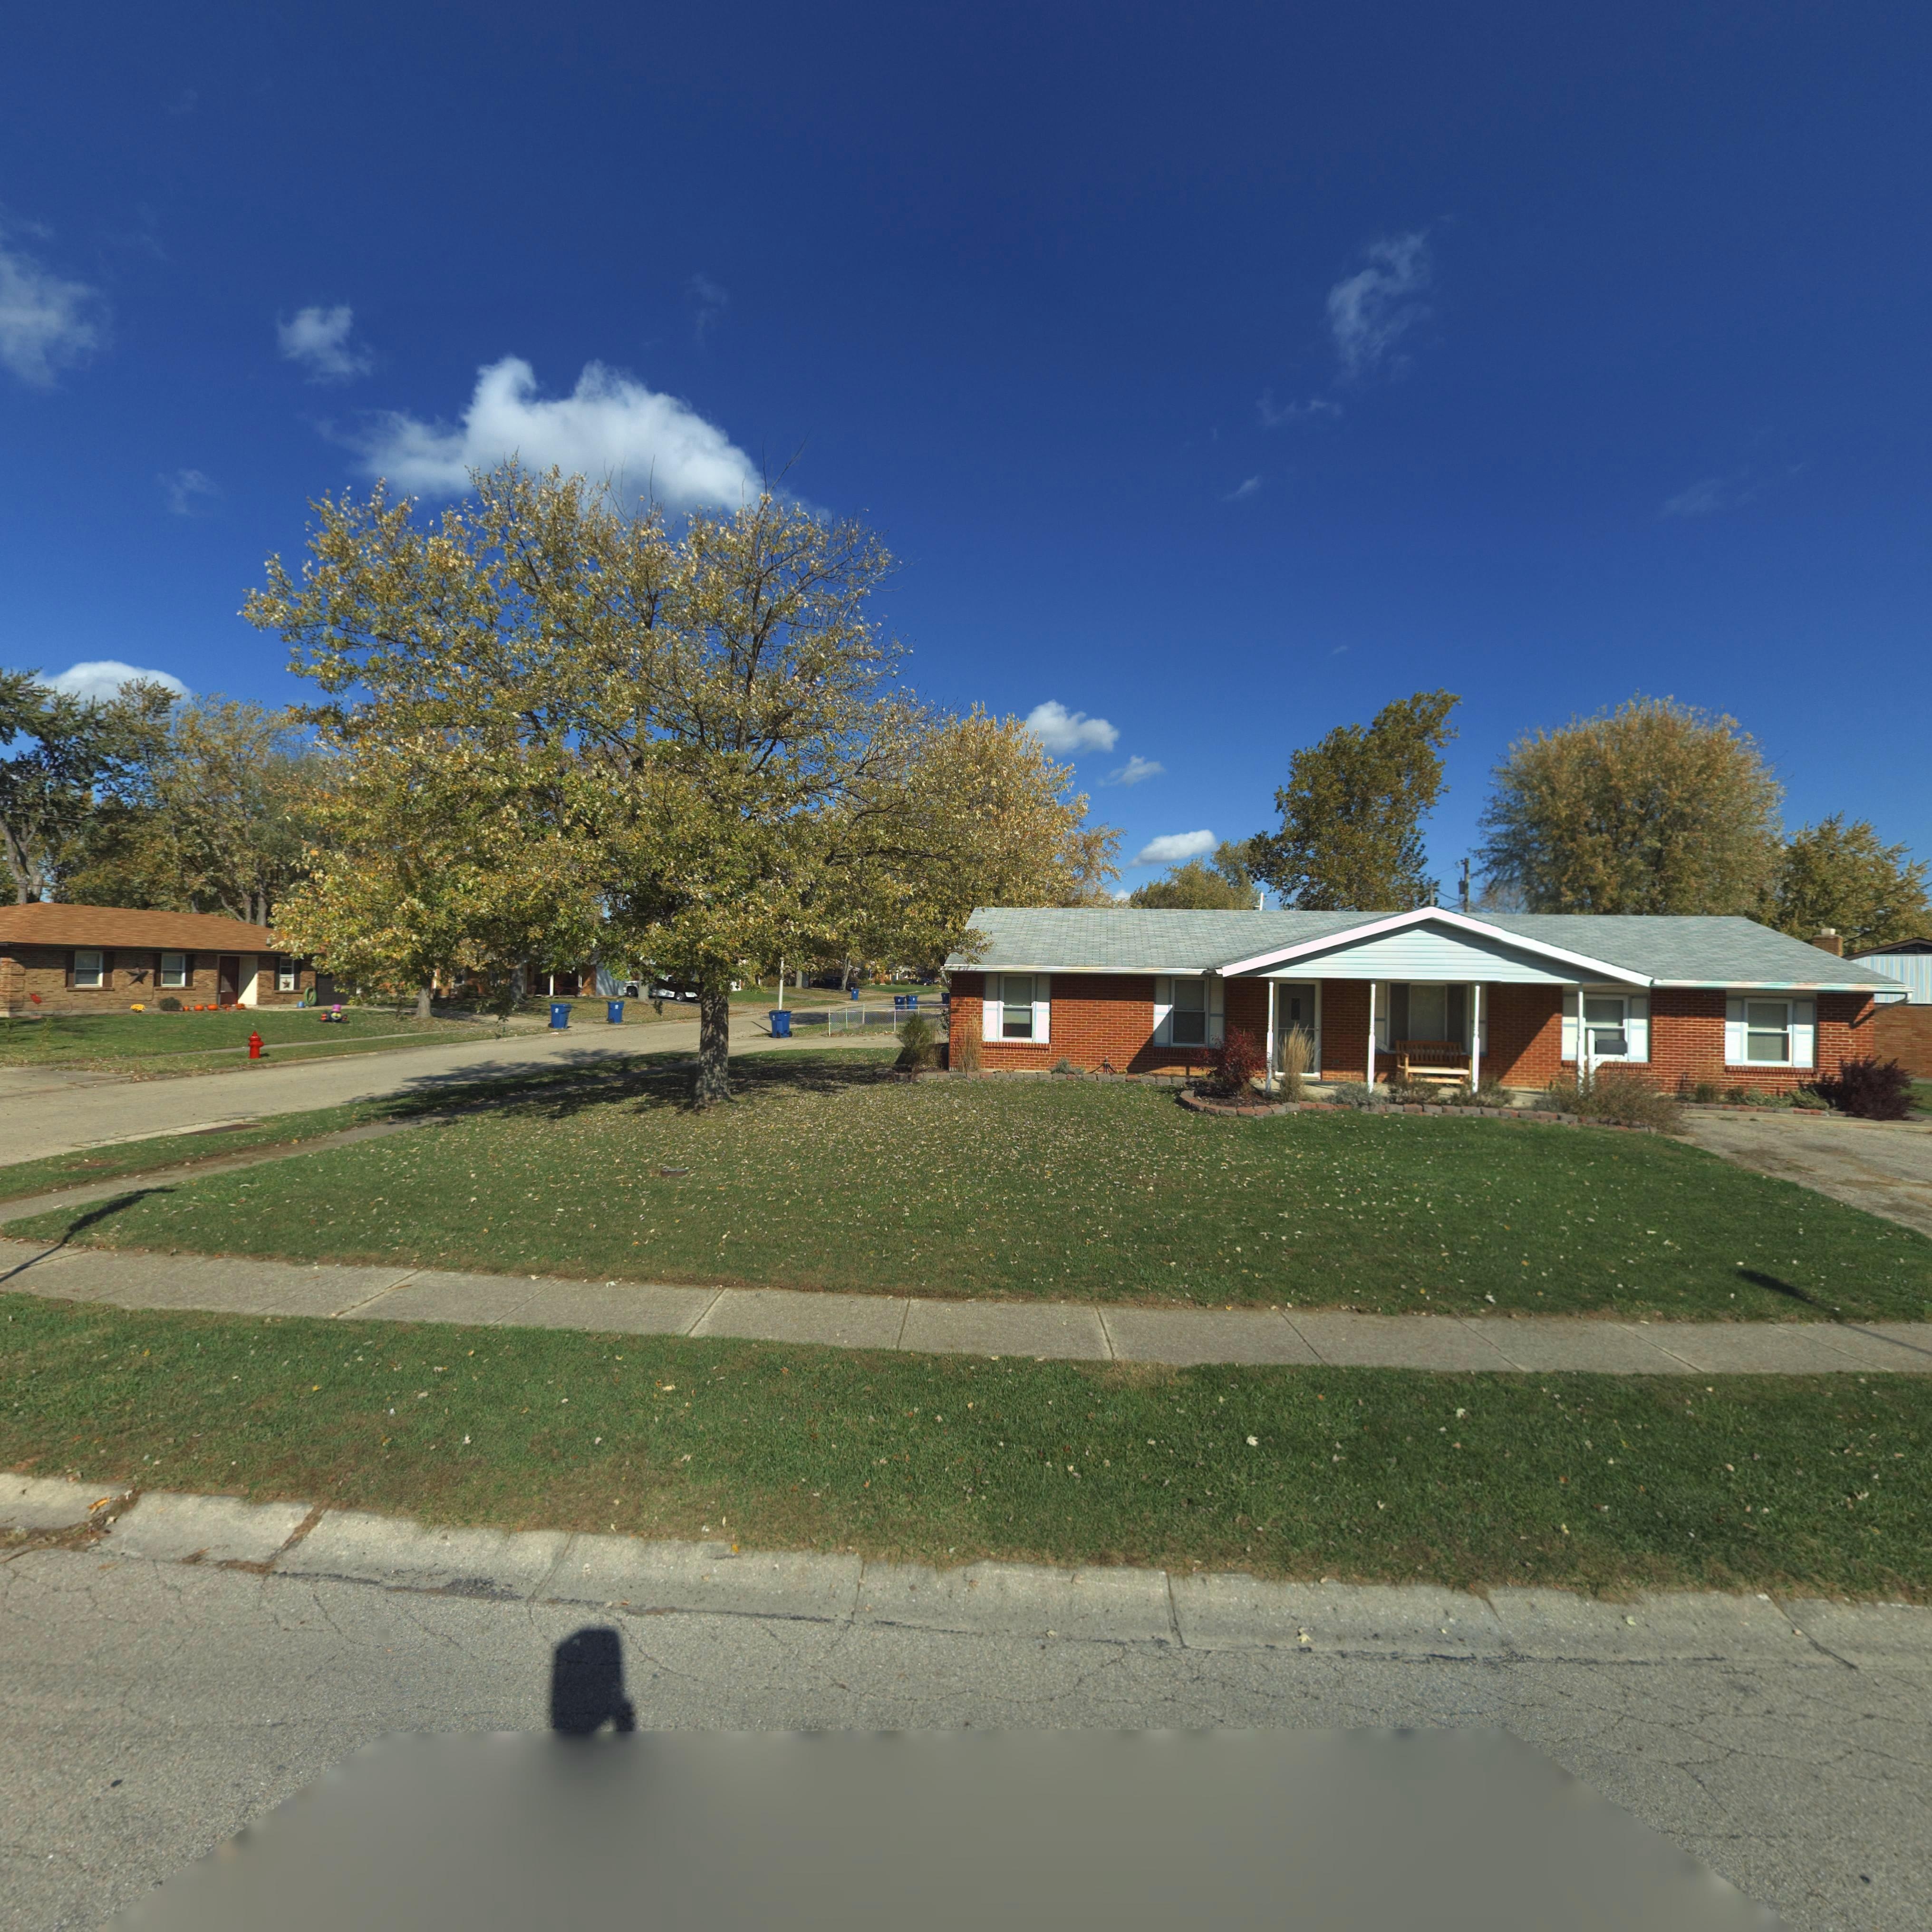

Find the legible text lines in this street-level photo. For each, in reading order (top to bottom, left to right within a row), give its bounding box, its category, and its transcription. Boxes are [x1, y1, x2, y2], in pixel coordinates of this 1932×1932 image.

[1377, 1041, 1386, 1052] StreetNumber: 01